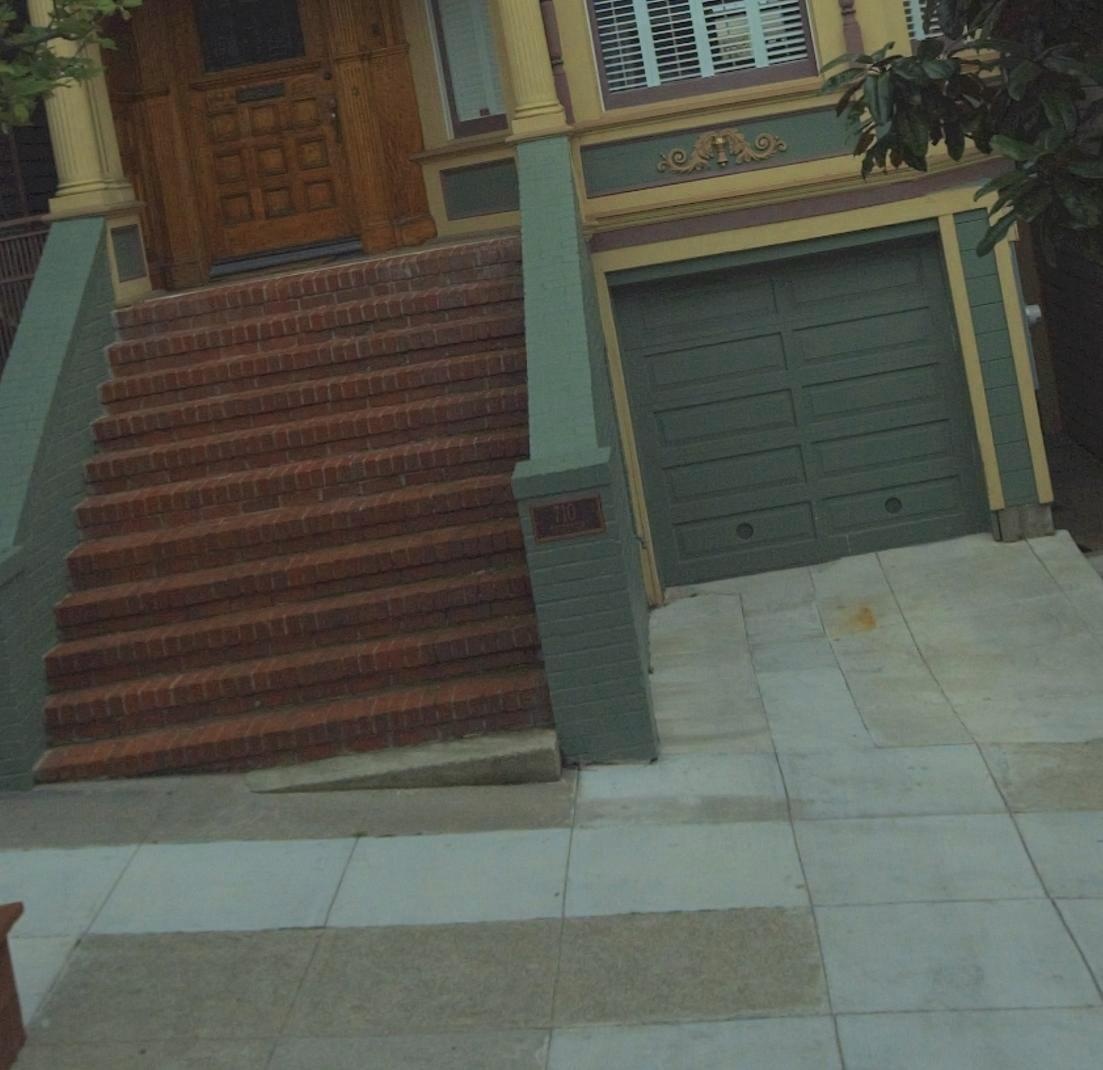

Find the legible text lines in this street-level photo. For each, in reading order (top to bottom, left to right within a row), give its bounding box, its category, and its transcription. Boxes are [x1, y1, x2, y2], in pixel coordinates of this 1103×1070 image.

[551, 502, 578, 526] StreetNumber: 710